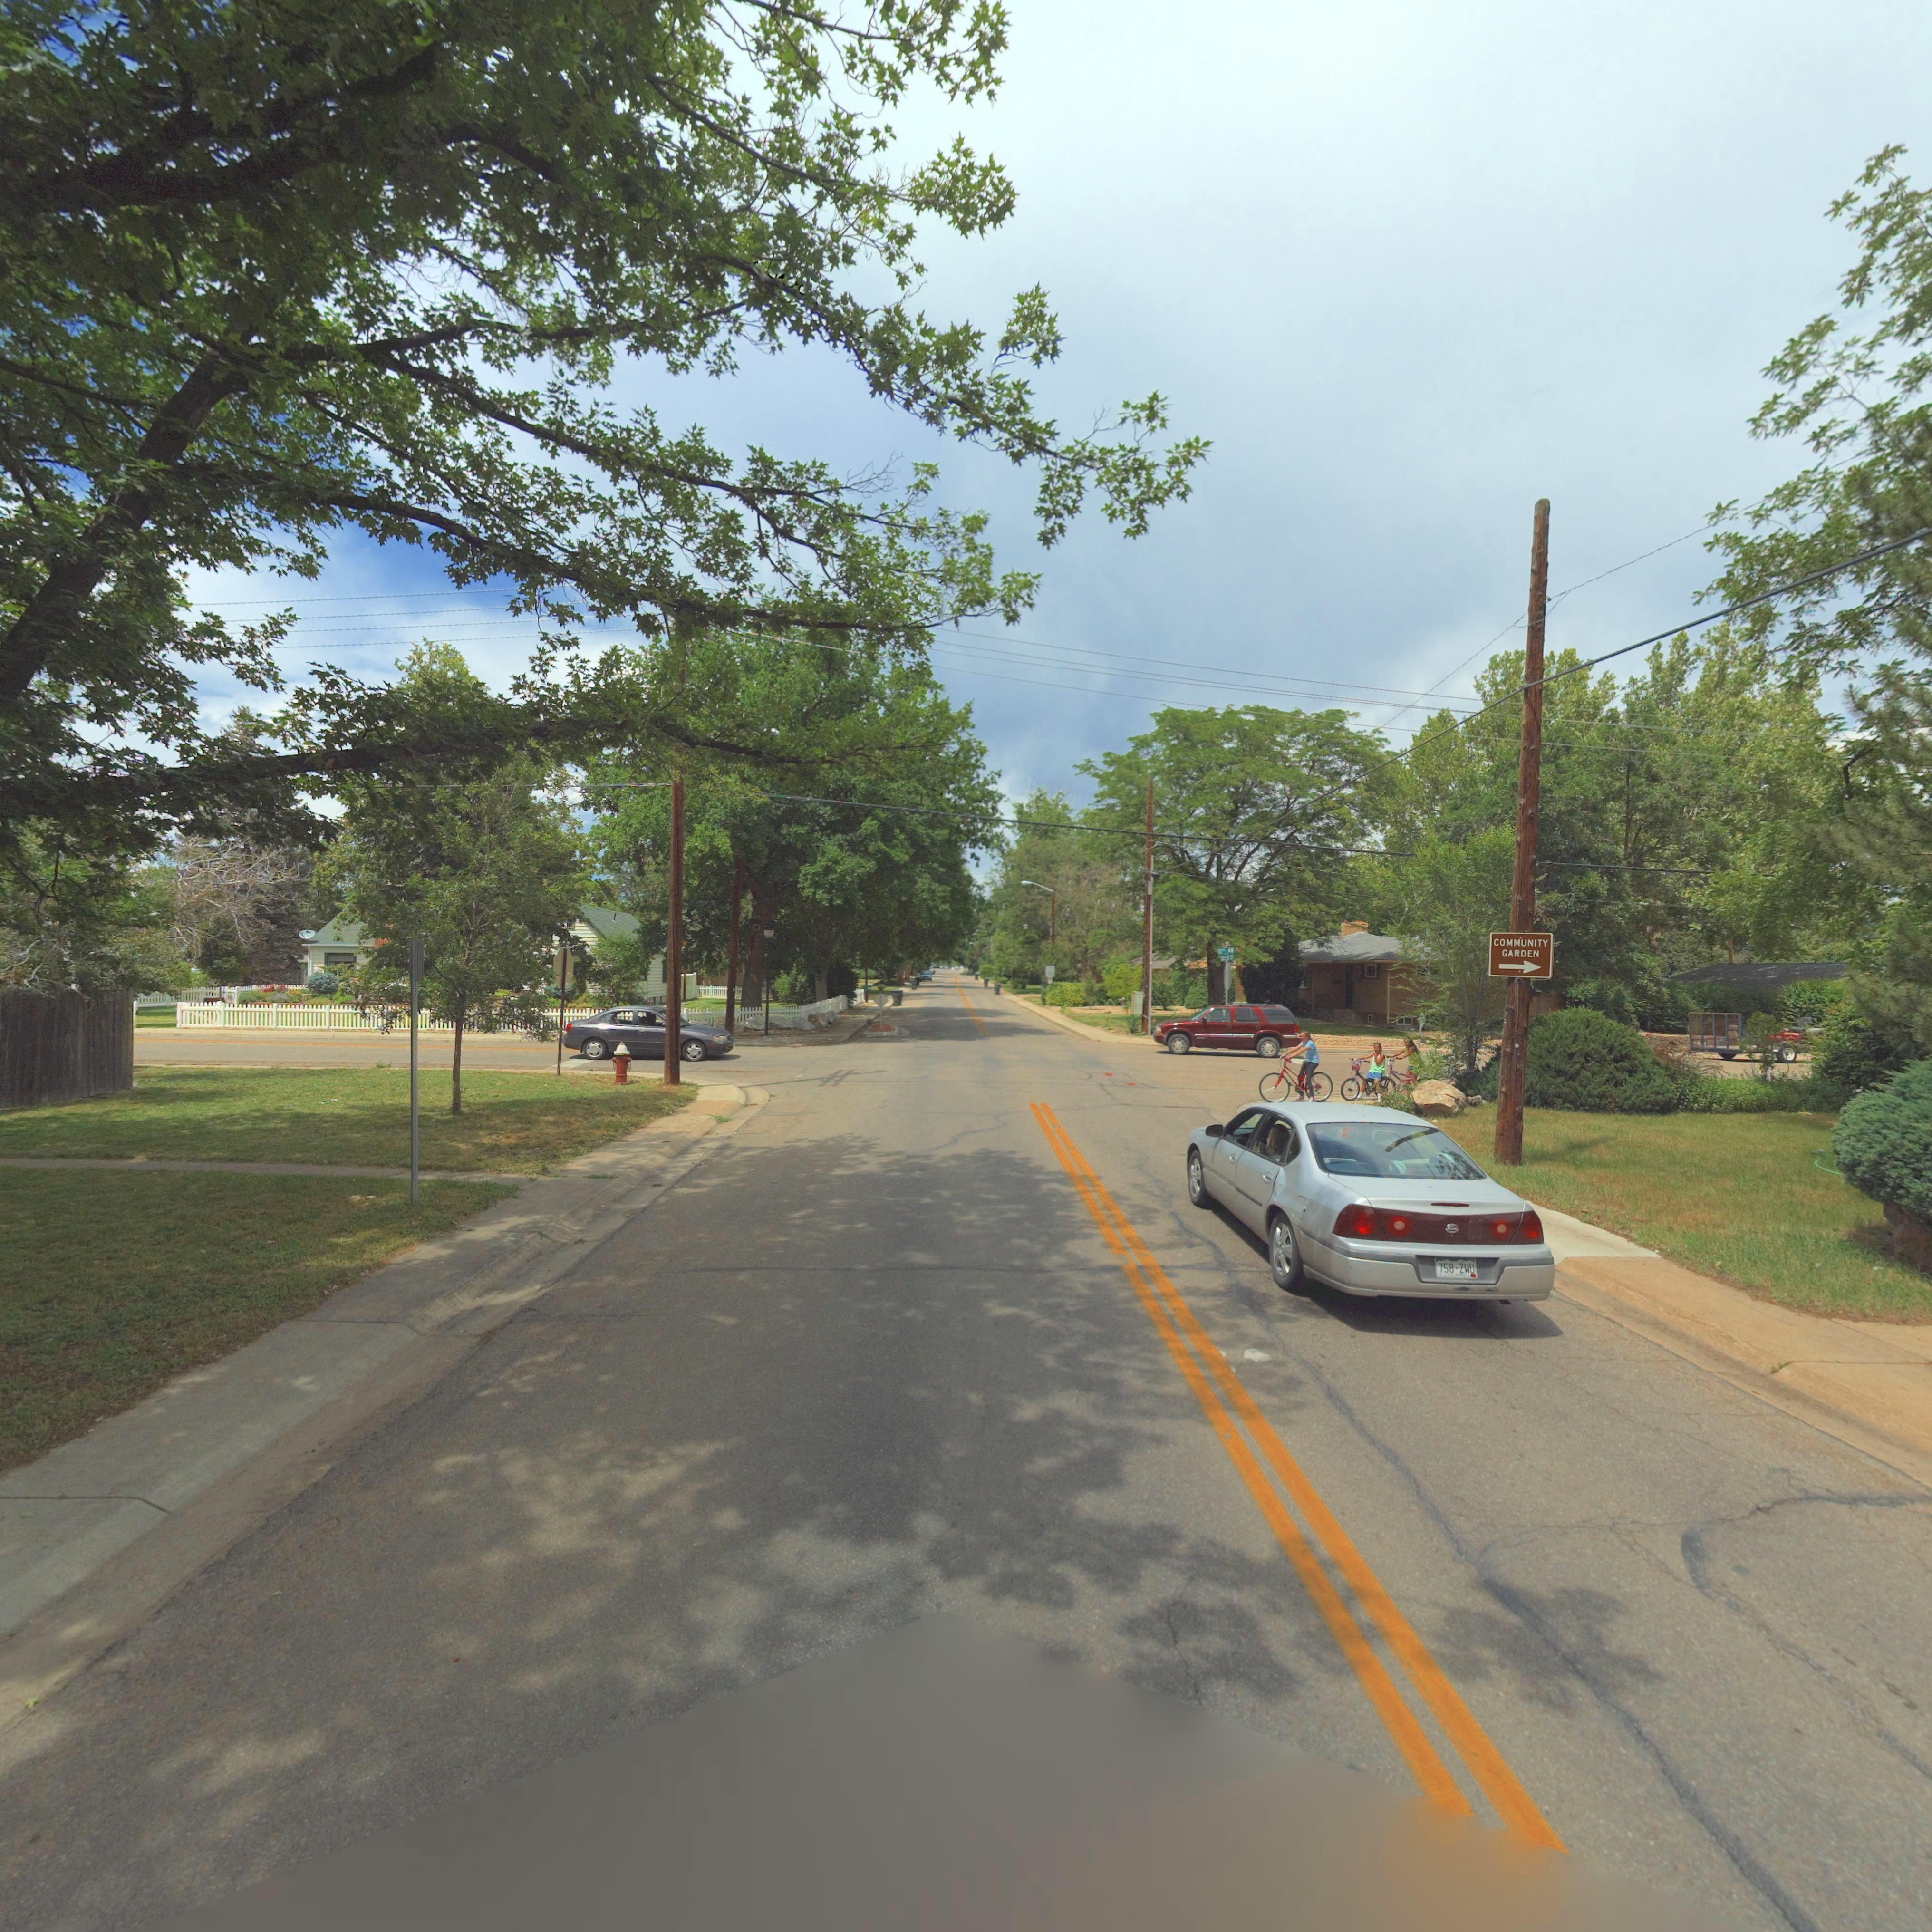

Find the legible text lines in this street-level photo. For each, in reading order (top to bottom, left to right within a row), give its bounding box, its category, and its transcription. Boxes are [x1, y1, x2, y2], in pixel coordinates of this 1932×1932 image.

[1217, 947, 1234, 954] StreetName: 11TH AV
[1220, 954, 1233, 961] StreetName: C*****R S*